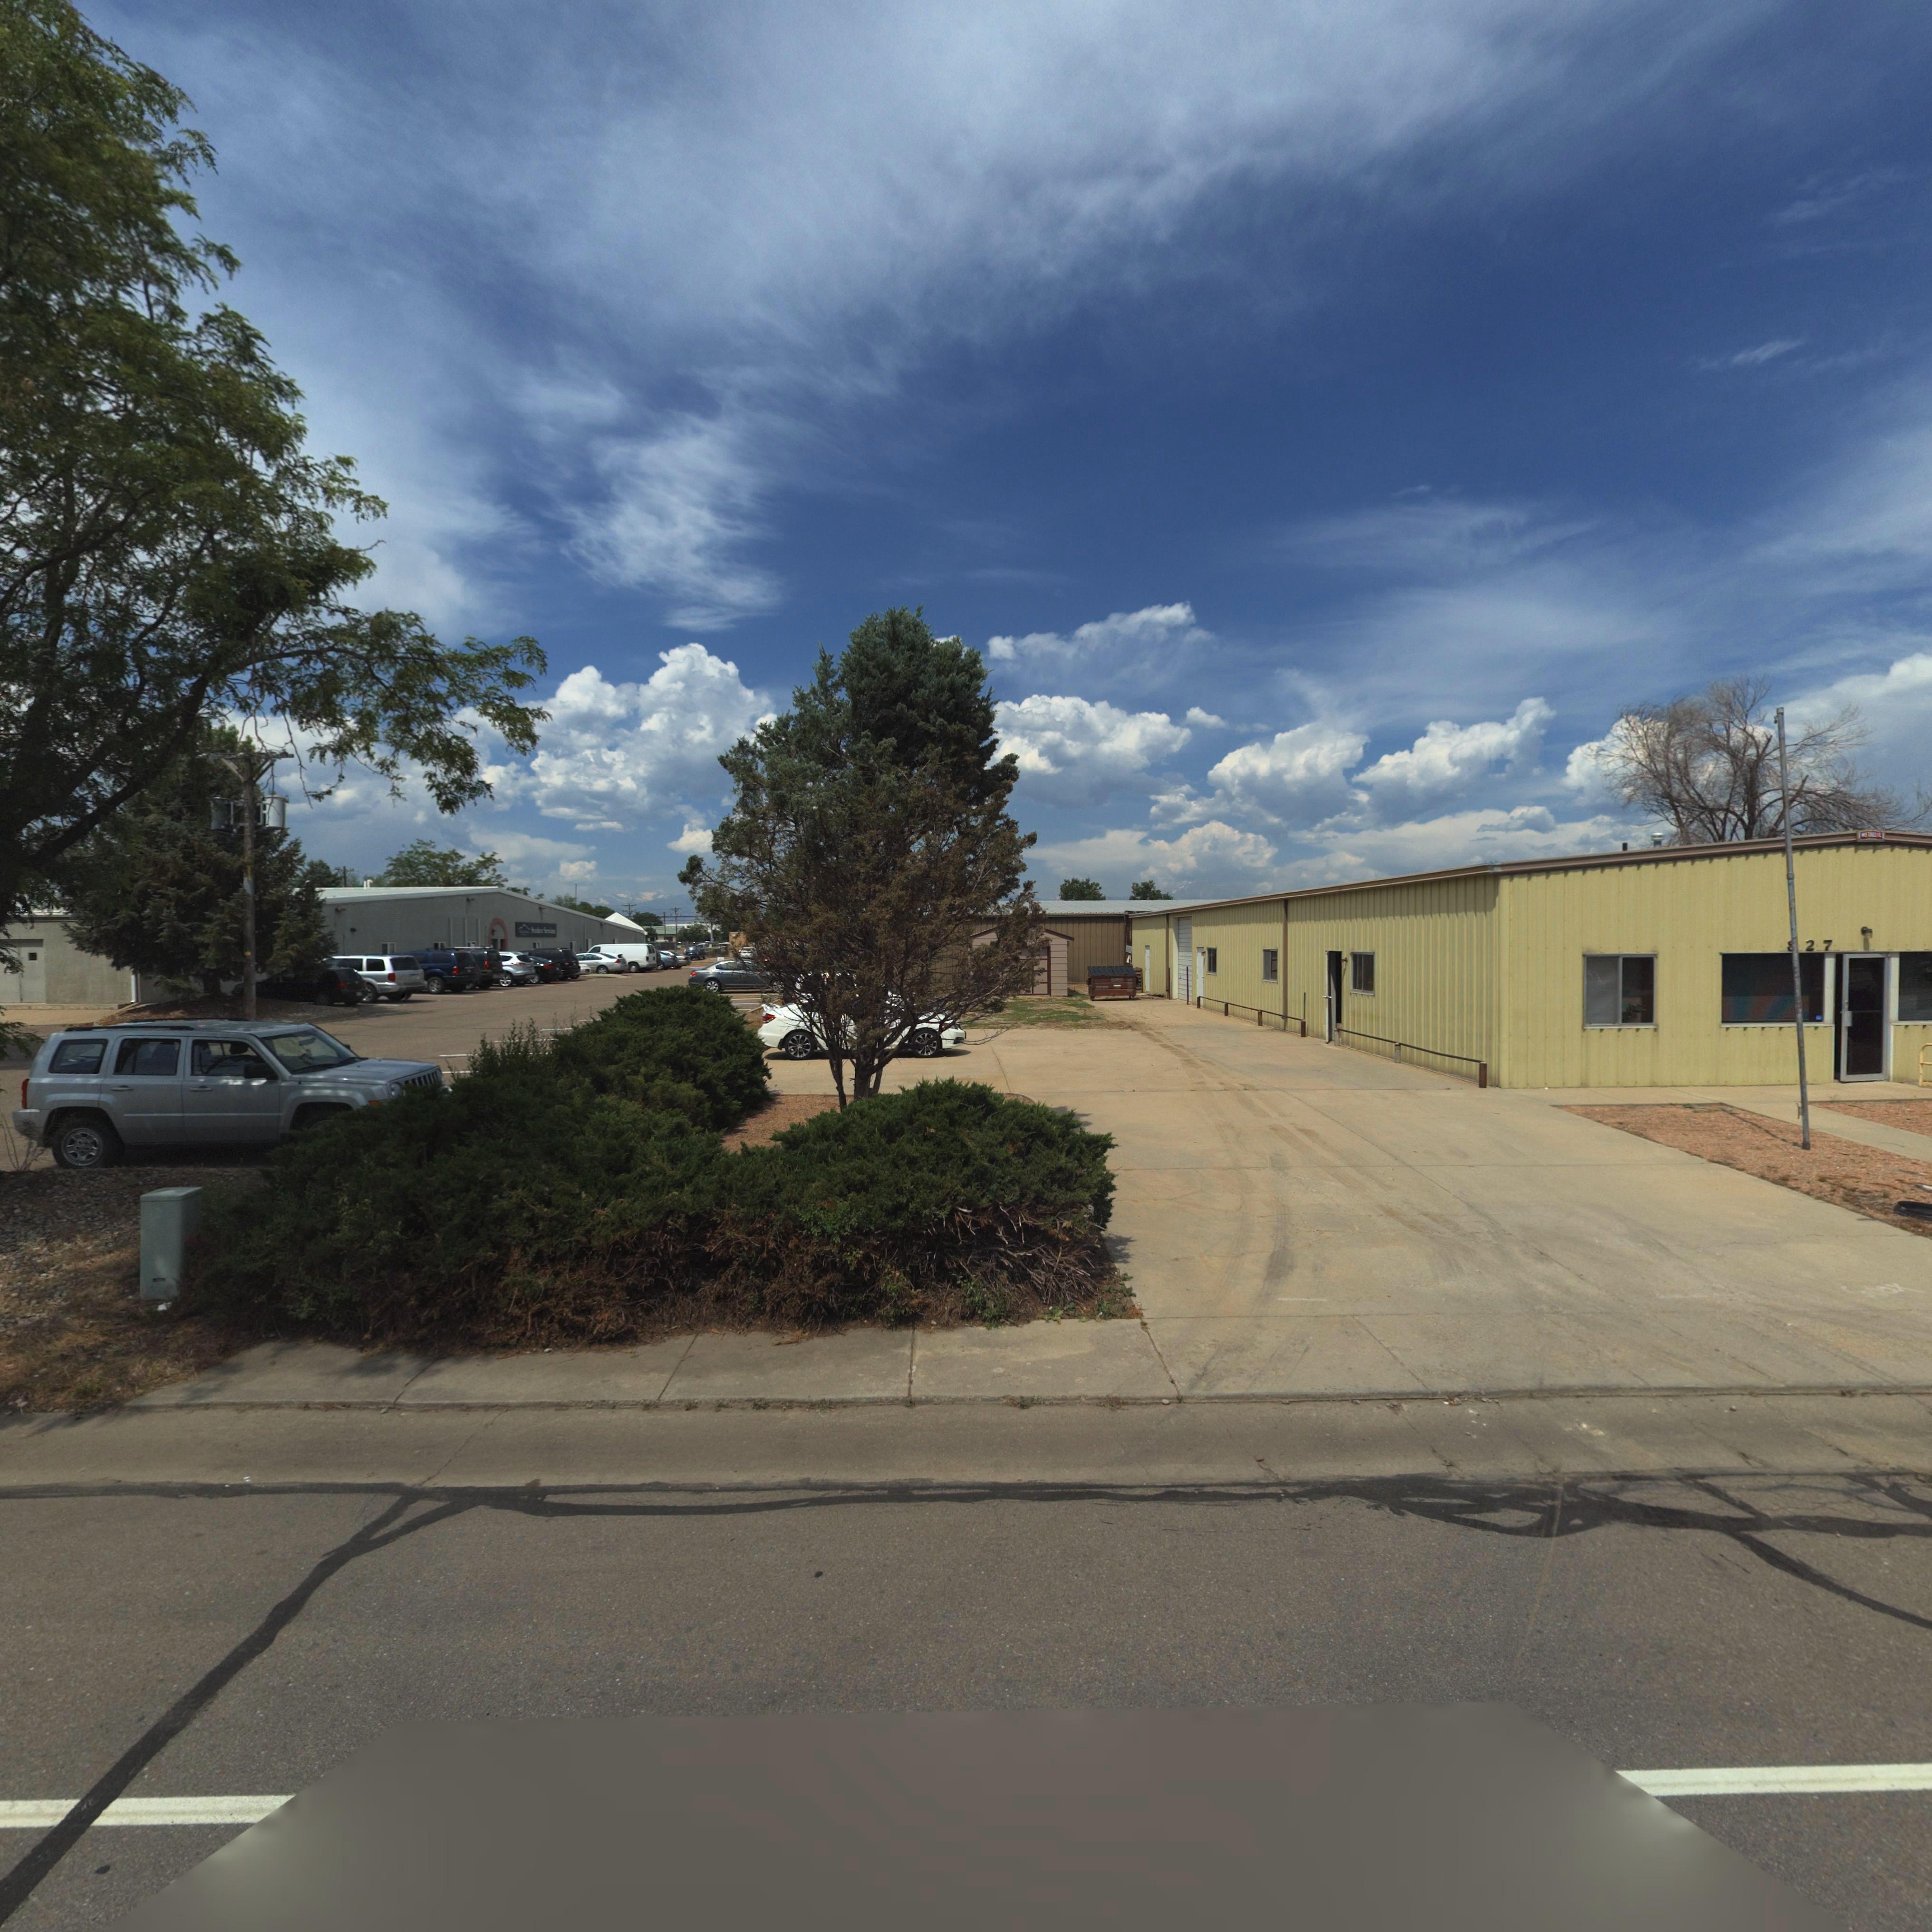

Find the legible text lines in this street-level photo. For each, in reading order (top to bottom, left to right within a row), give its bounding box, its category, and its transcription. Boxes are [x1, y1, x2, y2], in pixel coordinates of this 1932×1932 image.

[1787, 939, 1832, 952] StreetNumber: *27